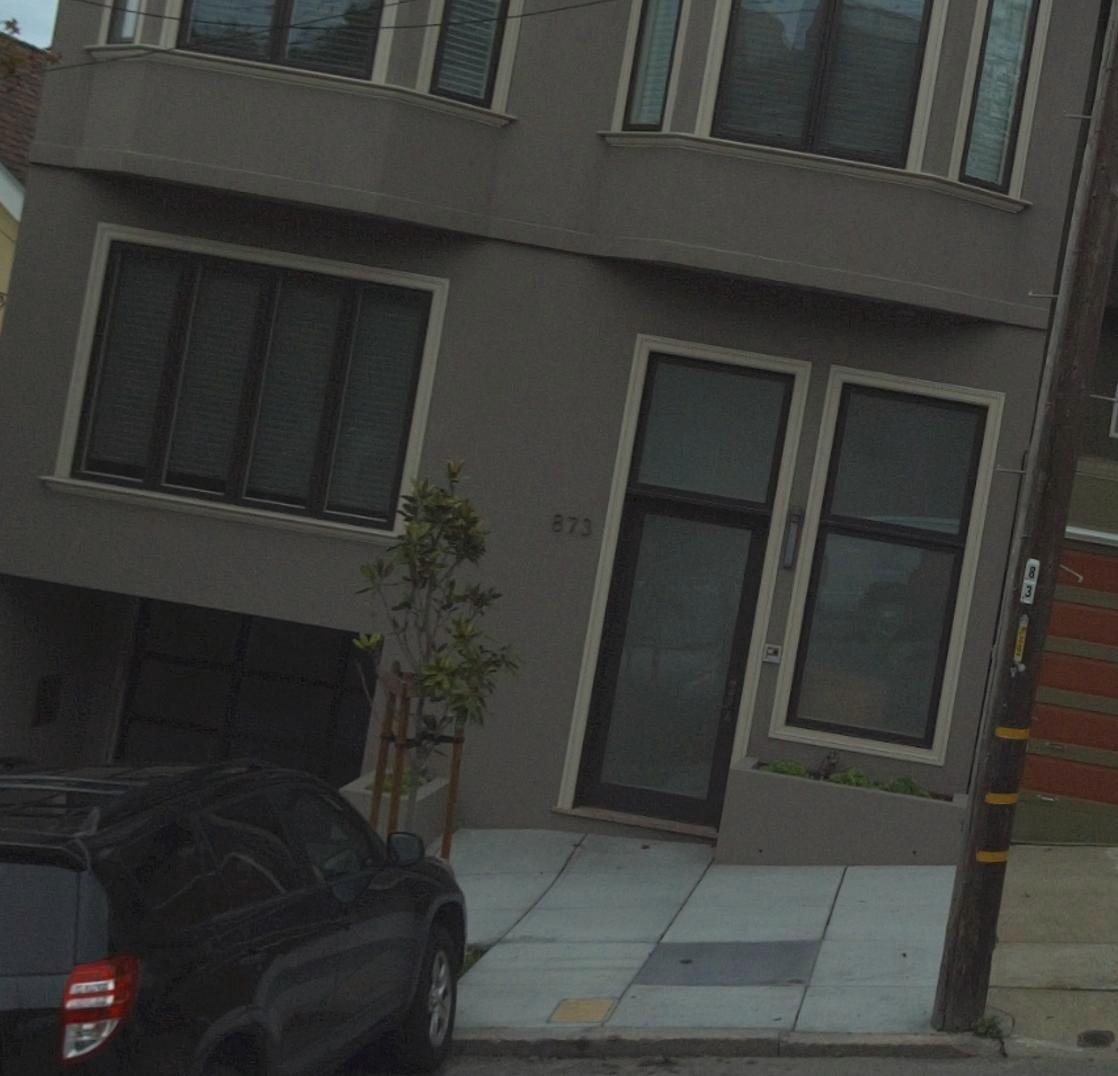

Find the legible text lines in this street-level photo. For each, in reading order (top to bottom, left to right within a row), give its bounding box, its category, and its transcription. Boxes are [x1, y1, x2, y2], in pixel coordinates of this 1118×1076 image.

[549, 512, 593, 539] StreetNumber: 873
[1022, 562, 1038, 601] None: 83